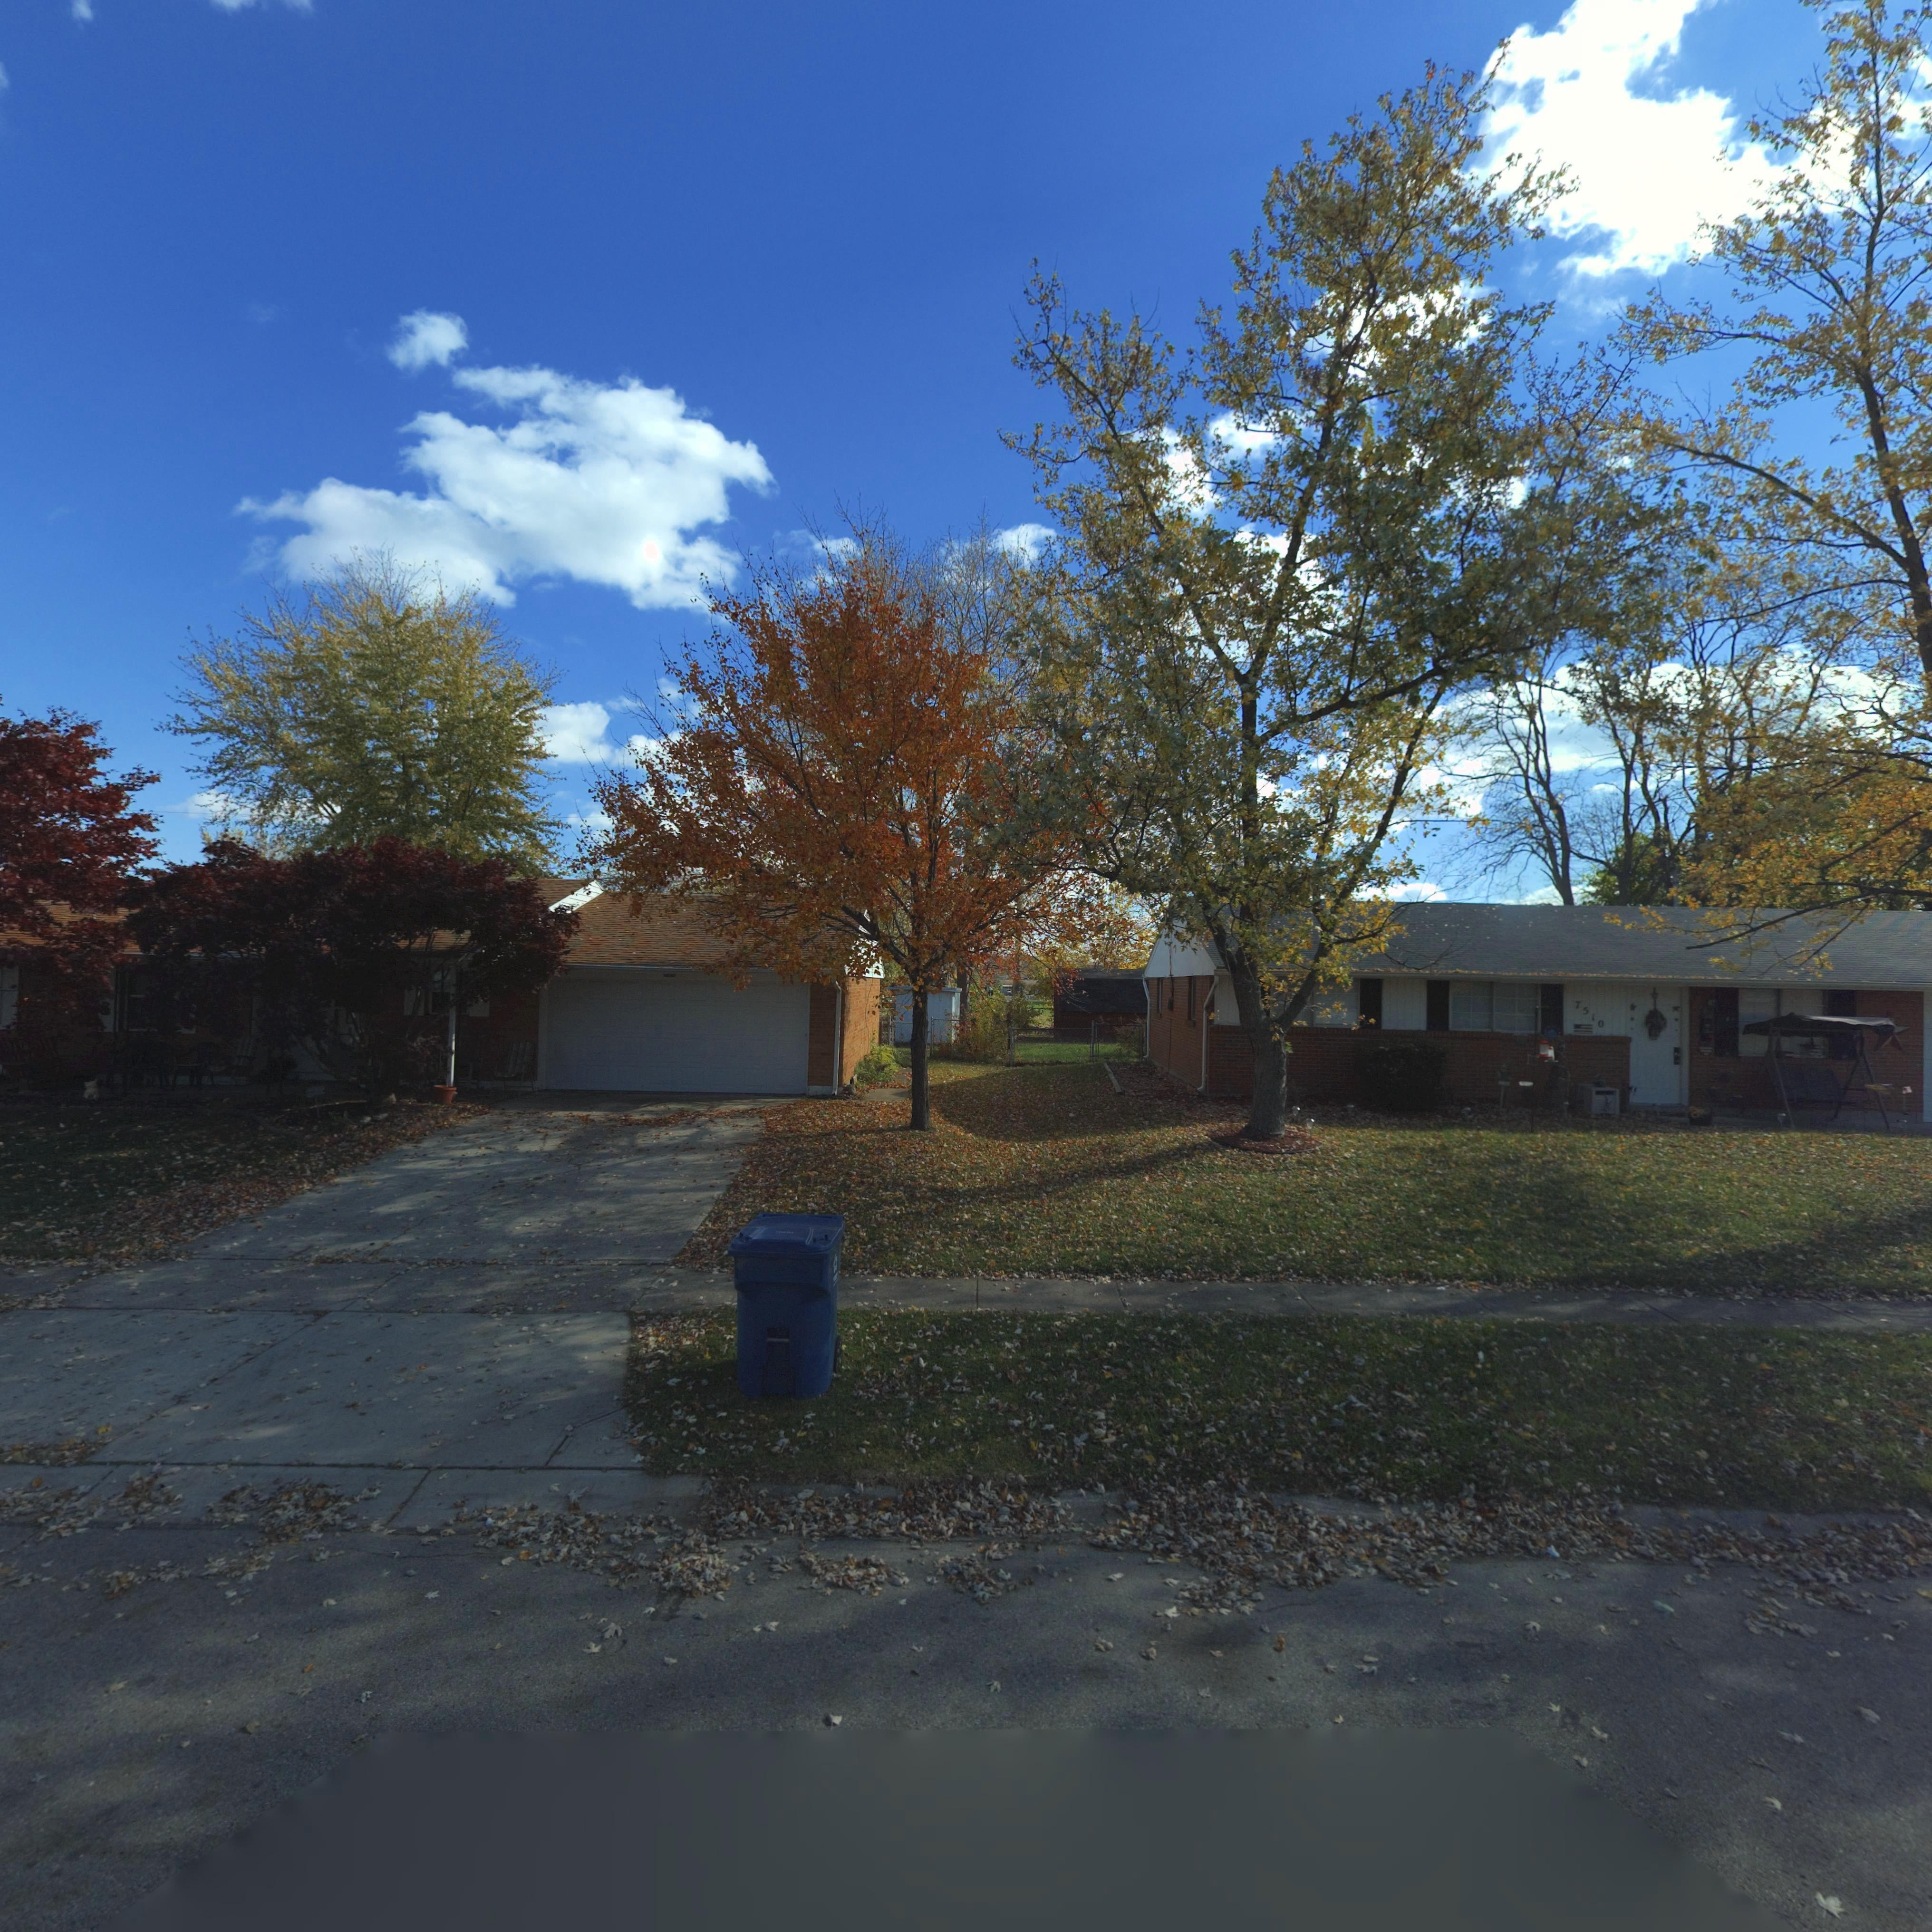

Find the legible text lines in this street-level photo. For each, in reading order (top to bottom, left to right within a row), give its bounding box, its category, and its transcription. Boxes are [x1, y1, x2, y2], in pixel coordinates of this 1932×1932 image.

[1574, 1000, 1605, 1029] StreetNumber: 7510